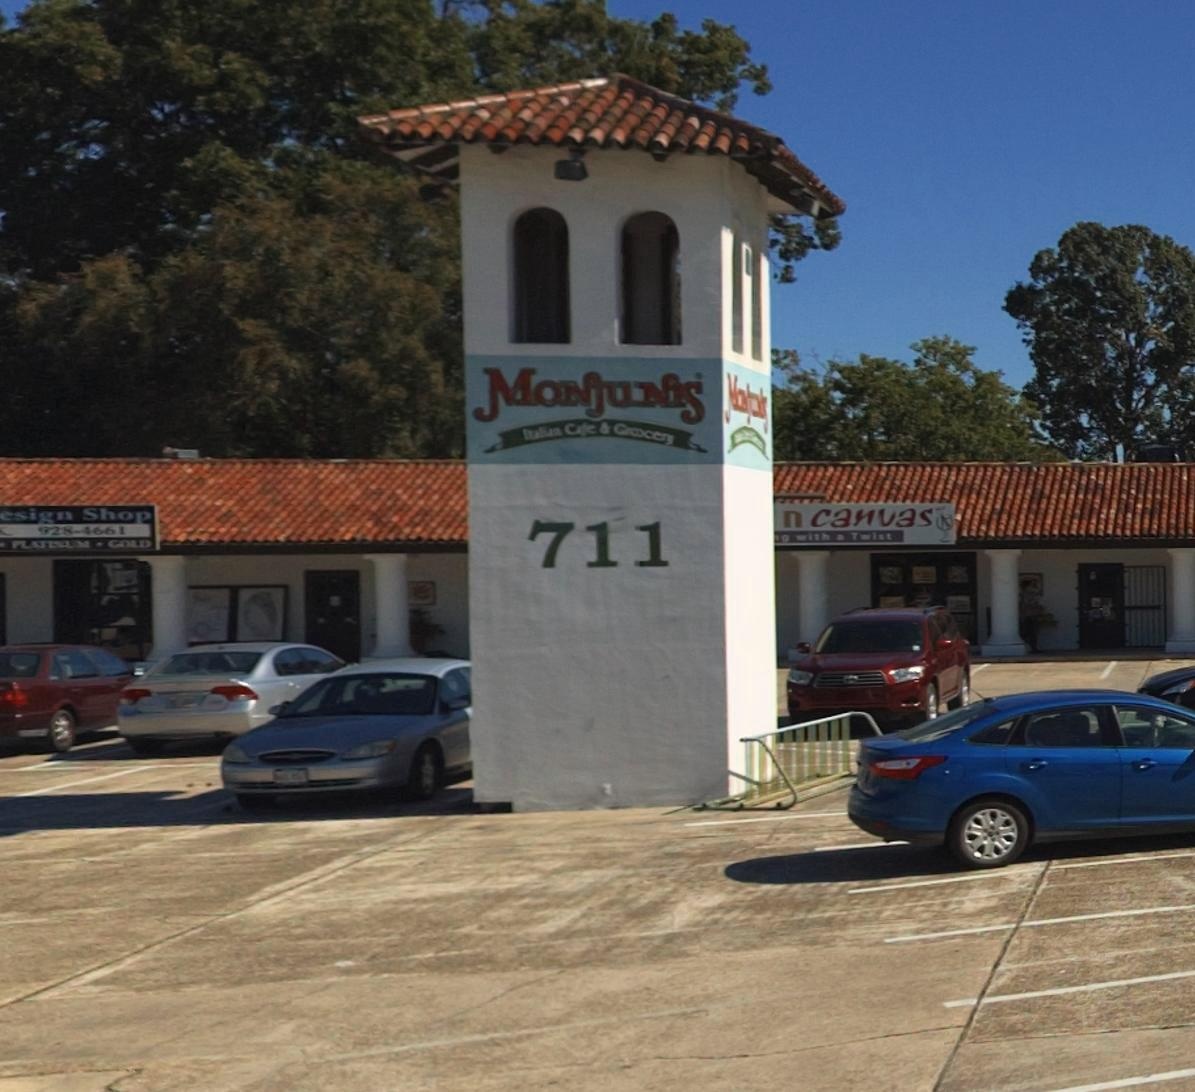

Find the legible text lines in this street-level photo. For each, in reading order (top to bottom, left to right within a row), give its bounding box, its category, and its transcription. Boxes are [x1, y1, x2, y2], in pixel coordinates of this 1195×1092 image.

[469, 360, 711, 429] None: Monjunis
[558, 417, 678, 449] None: Cafe & Gr*cery
[0, 505, 155, 529] None: esign Shop
[36, 523, 129, 539] None: 928-4661.
[10, 536, 155, 553] None: PLAT***M * GOLD
[523, 516, 672, 571] StreetNumber: 711
[778, 529, 897, 547] None: g with a Twist
[780, 505, 937, 533] None: n canvas